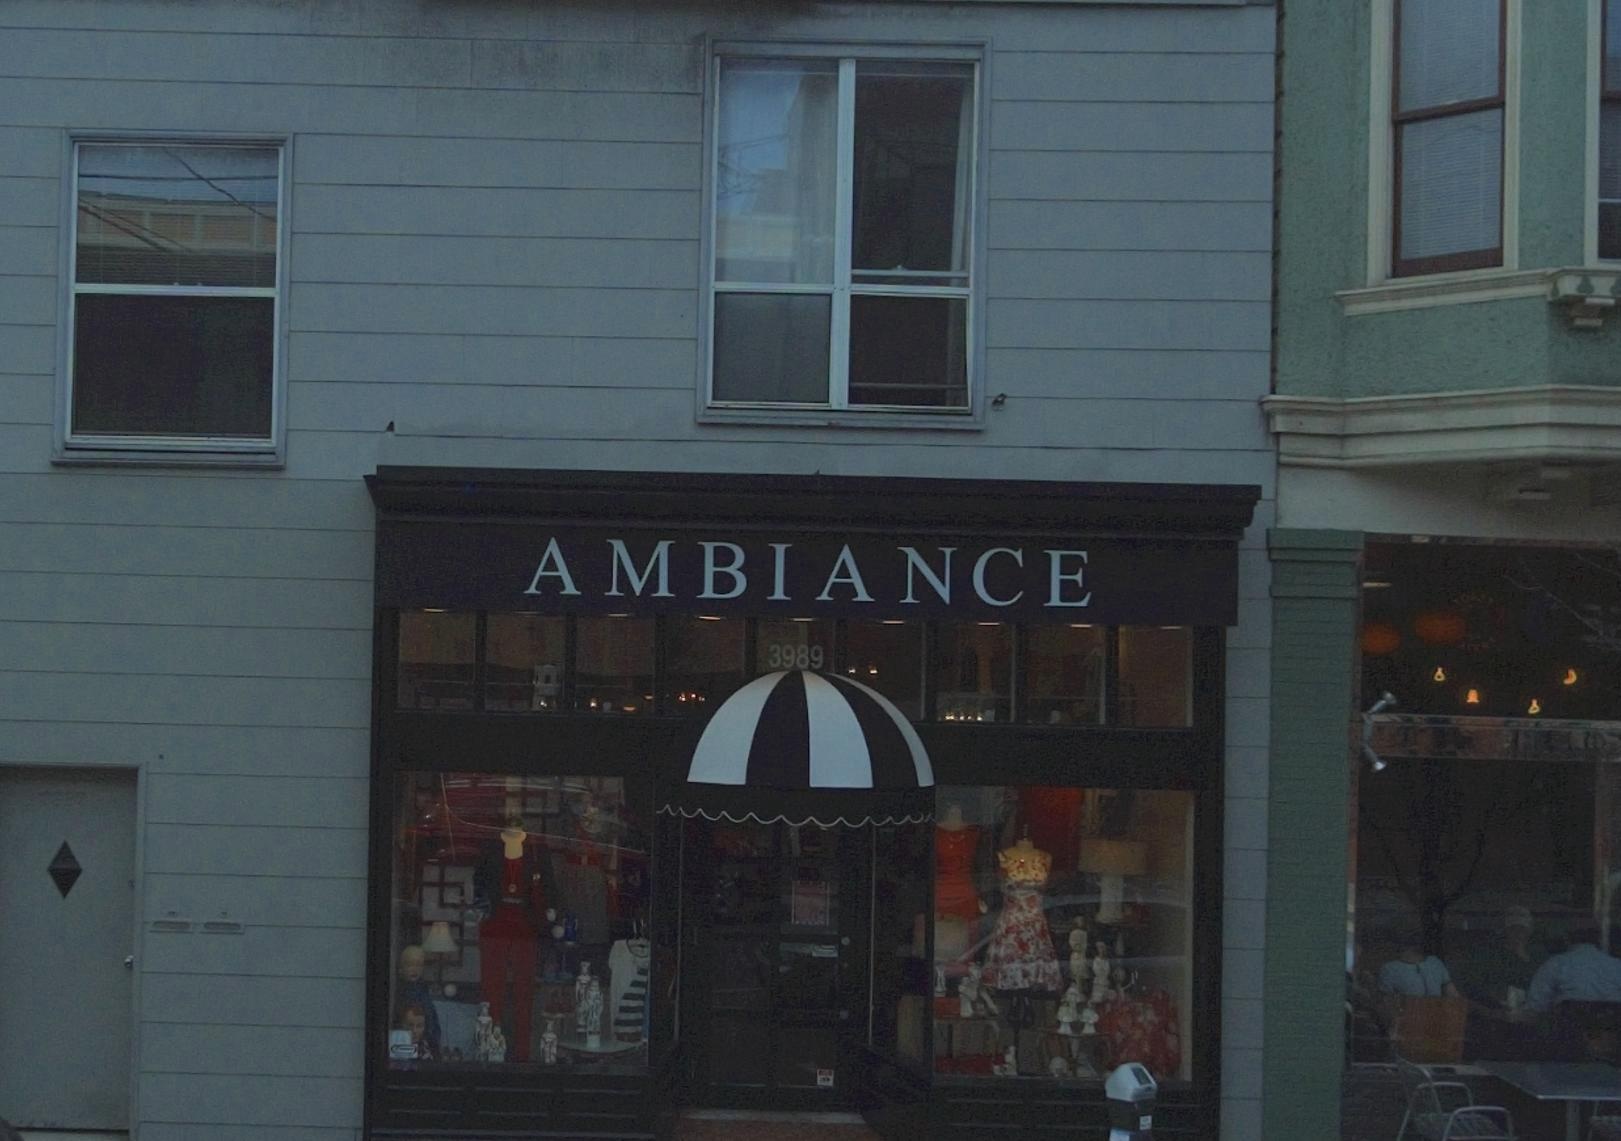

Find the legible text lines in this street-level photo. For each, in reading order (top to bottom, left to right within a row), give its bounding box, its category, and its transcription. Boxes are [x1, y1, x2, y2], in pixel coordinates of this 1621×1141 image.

[516, 534, 1093, 609] BusinessName: Ambiance 
[766, 642, 825, 672] StreetNumber: 3989